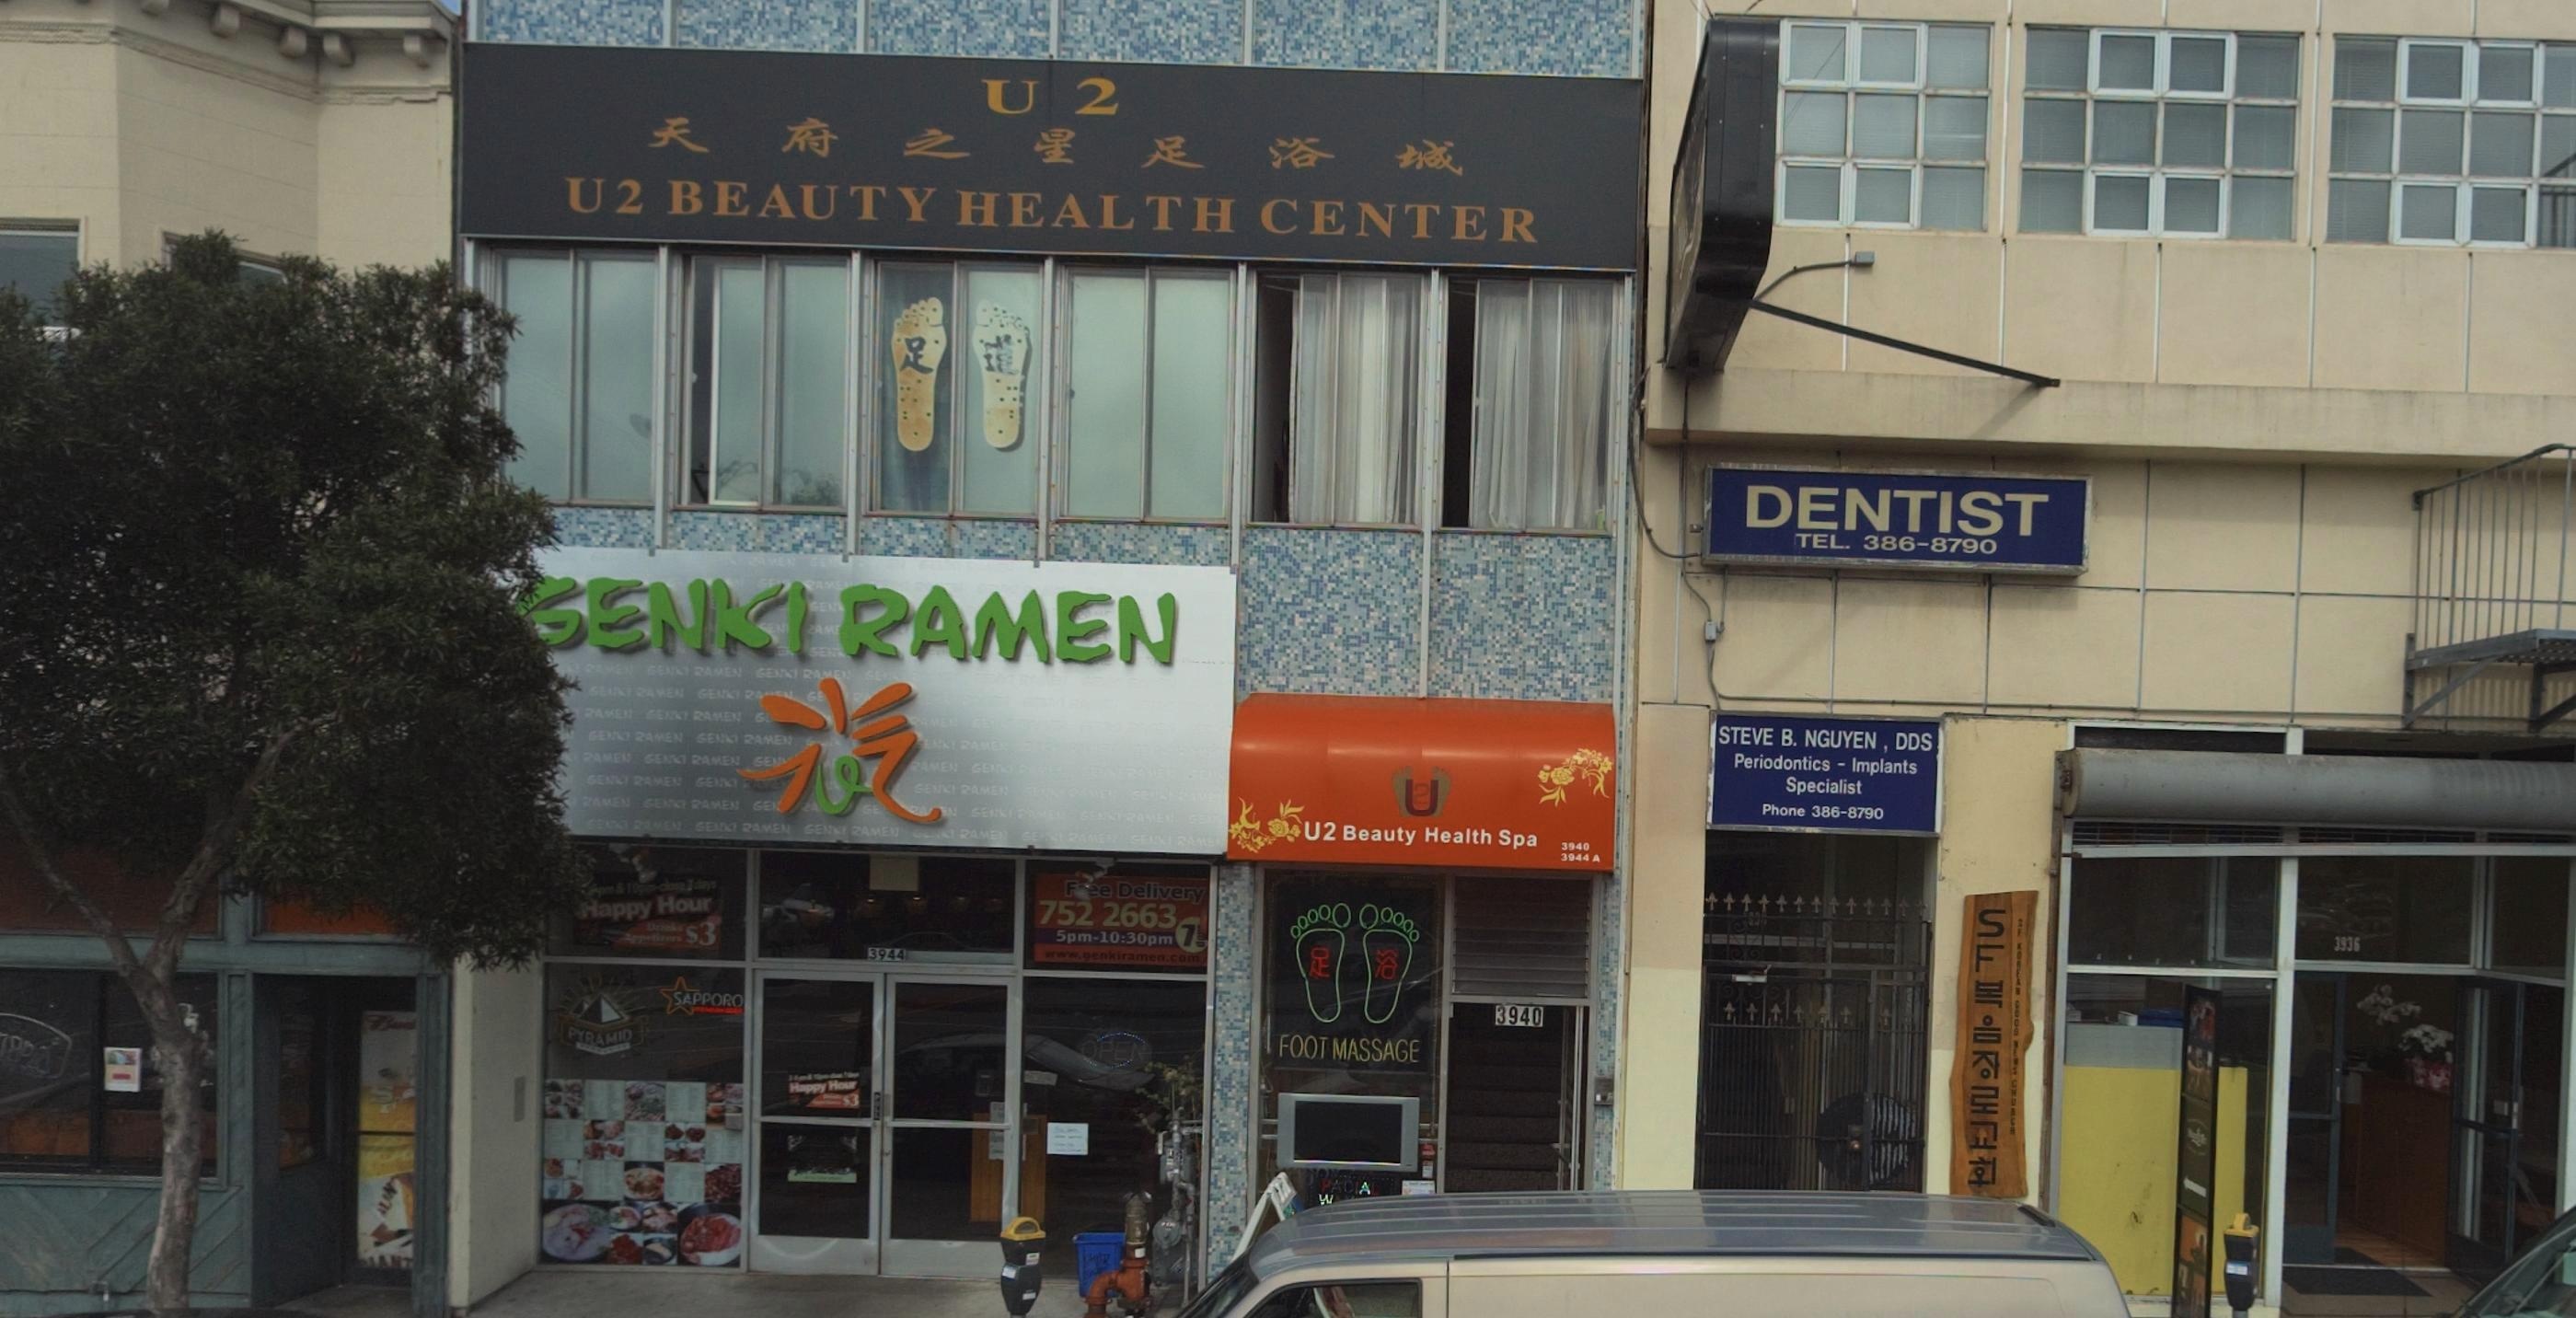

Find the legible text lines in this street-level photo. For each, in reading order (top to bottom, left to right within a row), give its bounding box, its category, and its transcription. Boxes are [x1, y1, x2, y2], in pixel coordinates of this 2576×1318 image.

[971, 70, 1126, 126] None: U 2
[557, 169, 1543, 247] BusinessName: U2 BEAUTY HEALTH CENTER
[1743, 481, 2053, 538] None: DENTIST
[1790, 529, 2000, 561] None: TEL. 386-8790
[745, 552, 839, 571] None: RAMEN GEN
[499, 571, 1181, 671] BusinessName: *ENKI RAMEN
[580, 661, 895, 685] None: RAMEN GENKI RAMEN GENKI RA*EN GEN
[586, 682, 867, 706] None: GENKI RAMEN GENKI RA*** GE* R
[581, 706, 766, 724] None: RAMEN GENKI RAMEN G
[907, 713, 964, 733] None: RAMEN
[583, 729, 795, 748] None: GENKI RAMEN GENKI RAMEN
[919, 735, 1009, 755] None: ENKI RAMEN
[1716, 723, 1935, 755] BusinessName: STEVE C. NGUYEN, DDS
[583, 773, 764, 792] None: GENKI RAMEN GENKI RA
[576, 750, 774, 769] None: RAMEN GENKI RAMEN GE
[576, 795, 775, 814] None: RAMEN GENKI RAMEN GE
[794, 800, 820, 817] None: RA
[858, 801, 882, 816] None: GE
[905, 758, 1226, 784] None: RAMEN GENKI R**** GEN** RAMEN GENK
[912, 780, 1222, 807] None: GENKI RAMEN ***** RAMEN GENKI RAME
[944, 803, 1219, 828] None: N GENKI RAMEN GENKI RAMEN GEN
[1401, 774, 1442, 819] None: U2
[1759, 801, 1888, 824] None: Phone 386-8790
[1782, 774, 1866, 799] None: Specialist
[1731, 748, 1920, 779] None: Periodontics - Implants
[584, 815, 1227, 851] None: ***K* RAMEN GENKI RAMEN GENKI RAMEN GENKI RAMEN GENKI RAMEN GENKI RAMEN
[1300, 817, 1542, 853] BusinessName: U2 Beatury Health Spa
[1558, 838, 1593, 852] StreetNumber: 3940
[1558, 850, 1604, 867] StreetNumber: 3944 A
[1064, 877, 1210, 907] None: F*ee Delivery
[578, 892, 715, 924] None: Happy Hour
[619, 931, 683, 946] None: Appetizers
[644, 919, 686, 933] None: Drinks
[697, 918, 719, 949] None: 3
[866, 946, 906, 962] StreetNumber: 3944
[1034, 896, 1180, 932] None: 752 2663
[1052, 926, 1175, 950] None: 5pm-10:30pm
[1042, 947, 1201, 966] None: www.genkiramen.com
[1178, 920, 1201, 950] None: 7
[1972, 904, 2012, 976] None: SF
[2328, 933, 2365, 957] StreetNumber: 3936
[671, 989, 745, 1010] None: SAPPORO
[363, 1012, 421, 1035] None: Bud
[565, 1023, 635, 1050] None: PYRAMID
[1493, 1003, 1542, 1028] StreetNumber: 3940
[2006, 917, 2025, 1139] BusinessName: SF KOREAN GOOD NEWS CHURCH
[1080, 1036, 1154, 1069] None: OPEN
[1275, 1033, 1425, 1068] None: FOOT MASSAGE
[787, 1079, 860, 1096] None: Happy Hour
[848, 1092, 861, 1109] None: 3